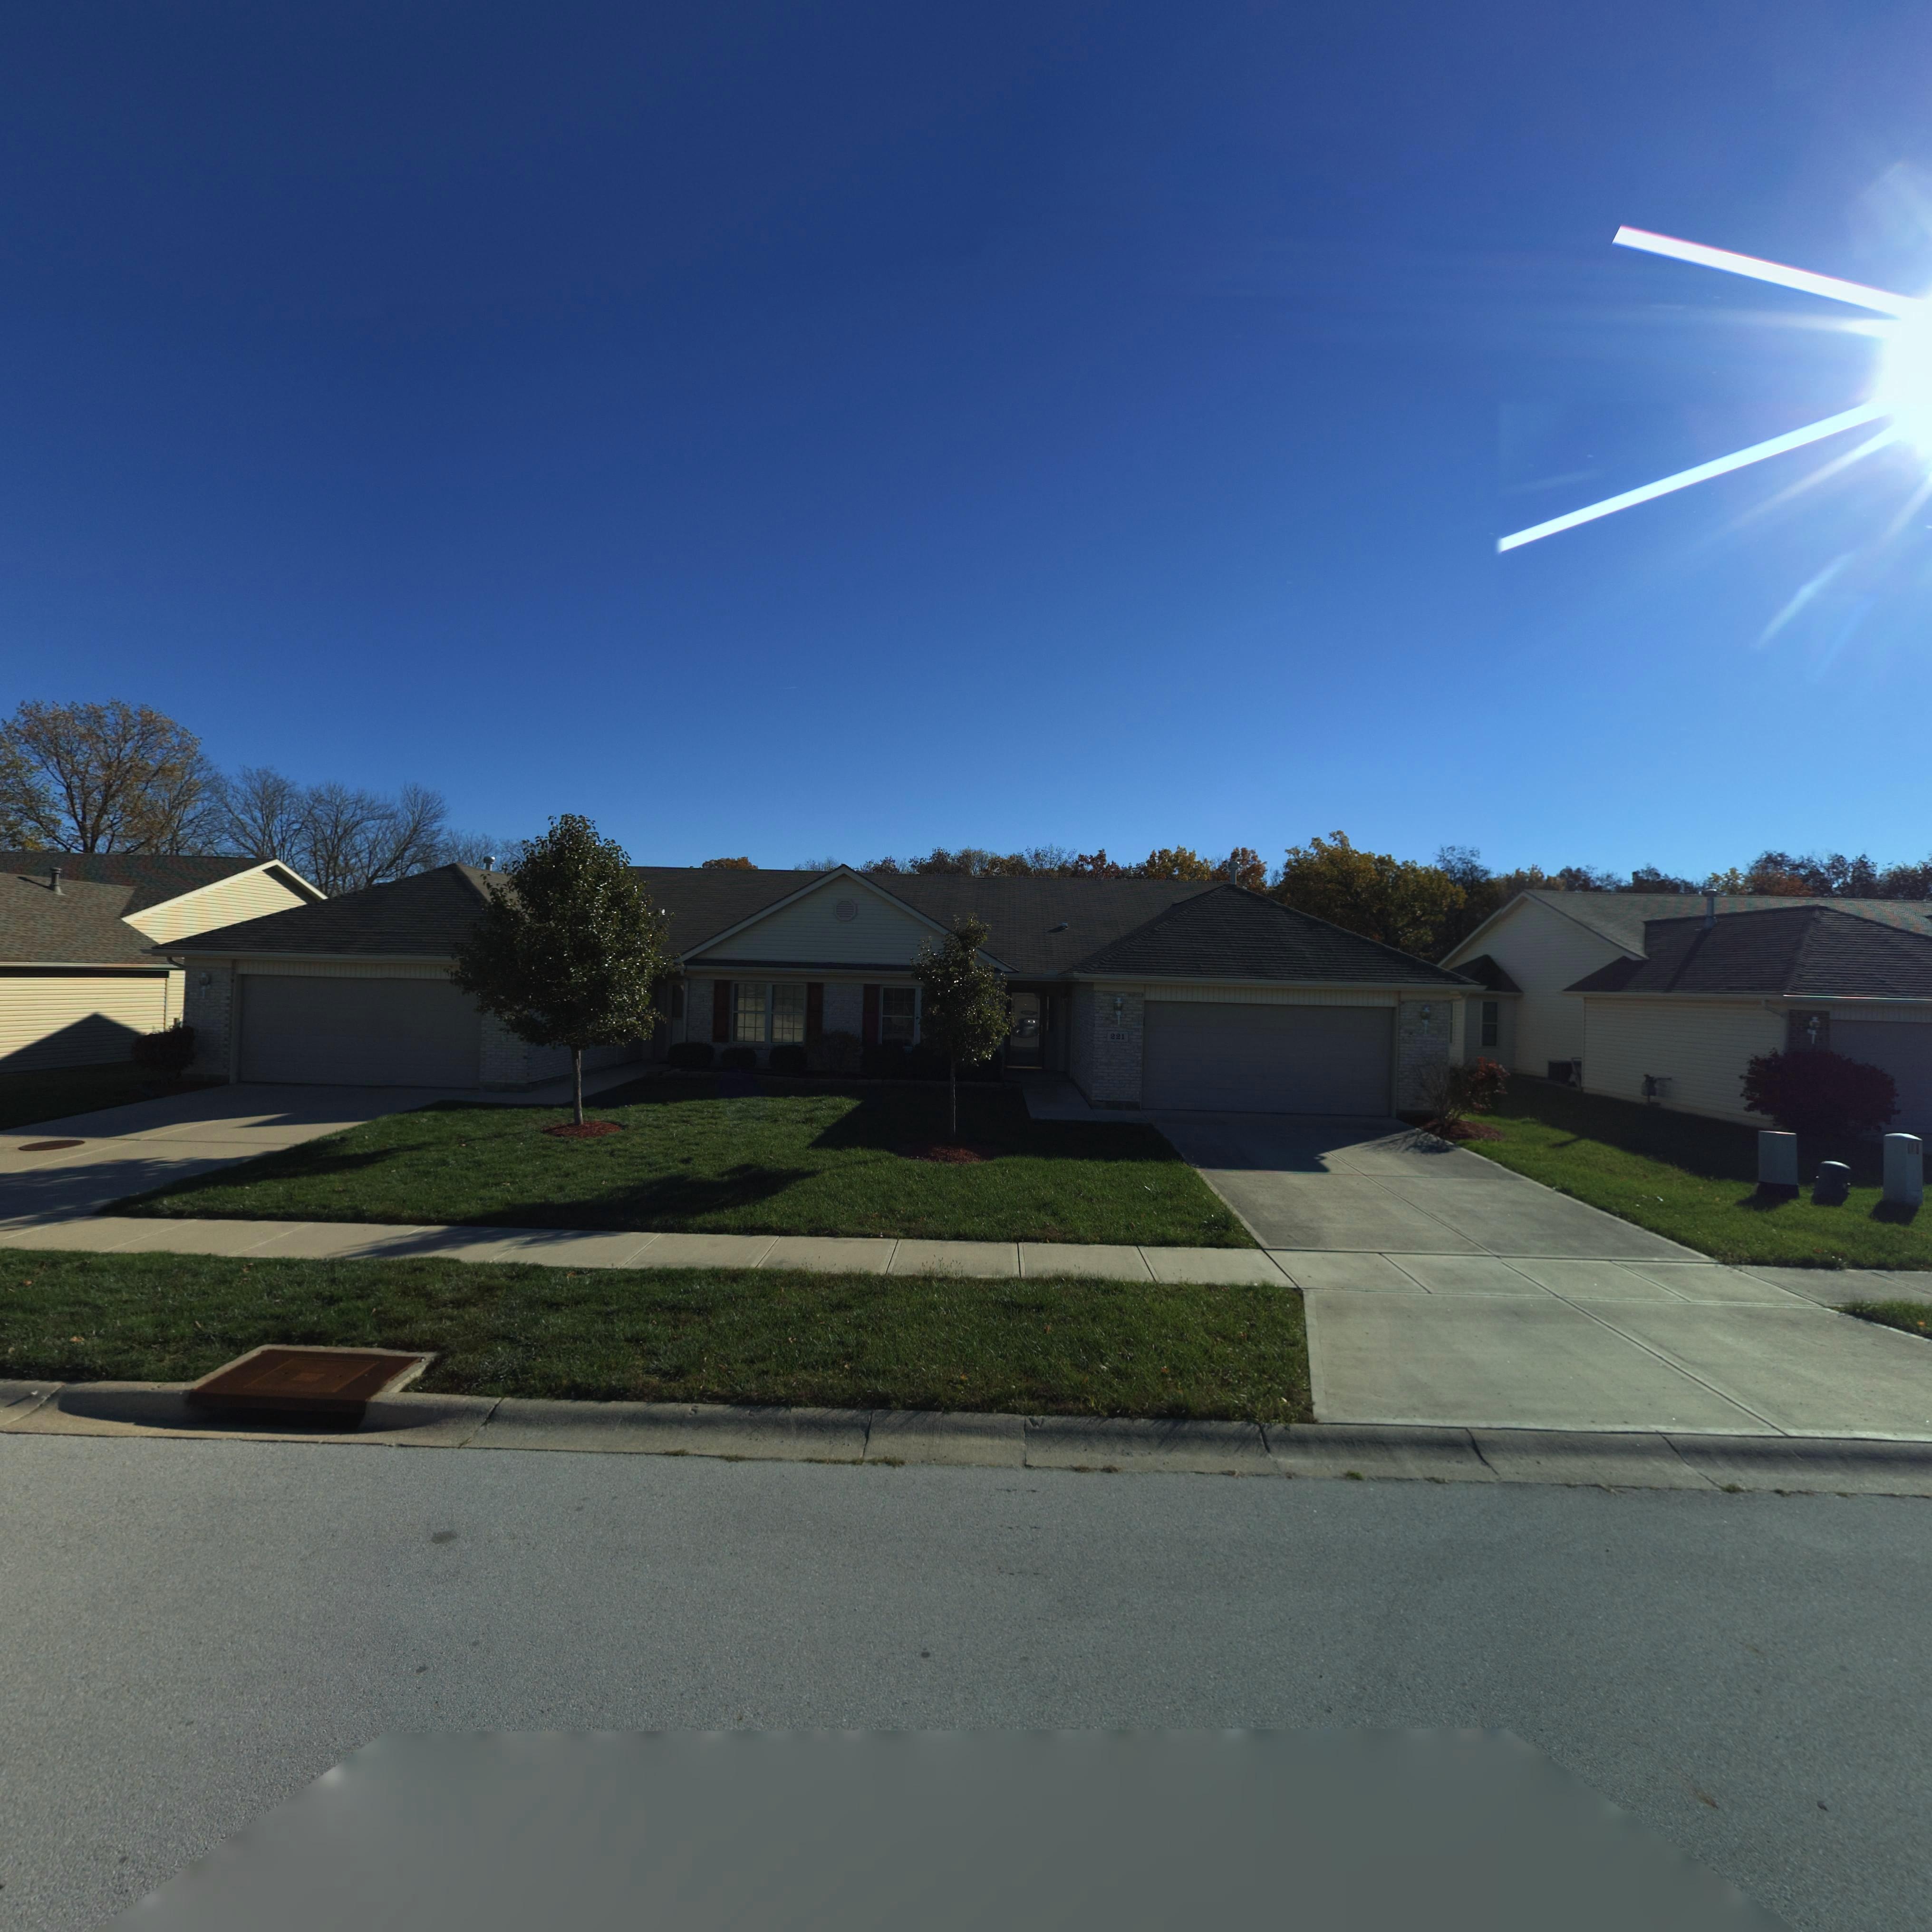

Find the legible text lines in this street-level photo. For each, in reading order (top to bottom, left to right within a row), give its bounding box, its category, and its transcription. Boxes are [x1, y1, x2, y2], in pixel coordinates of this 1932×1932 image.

[1109, 1032, 1126, 1041] StreetNumber: 221